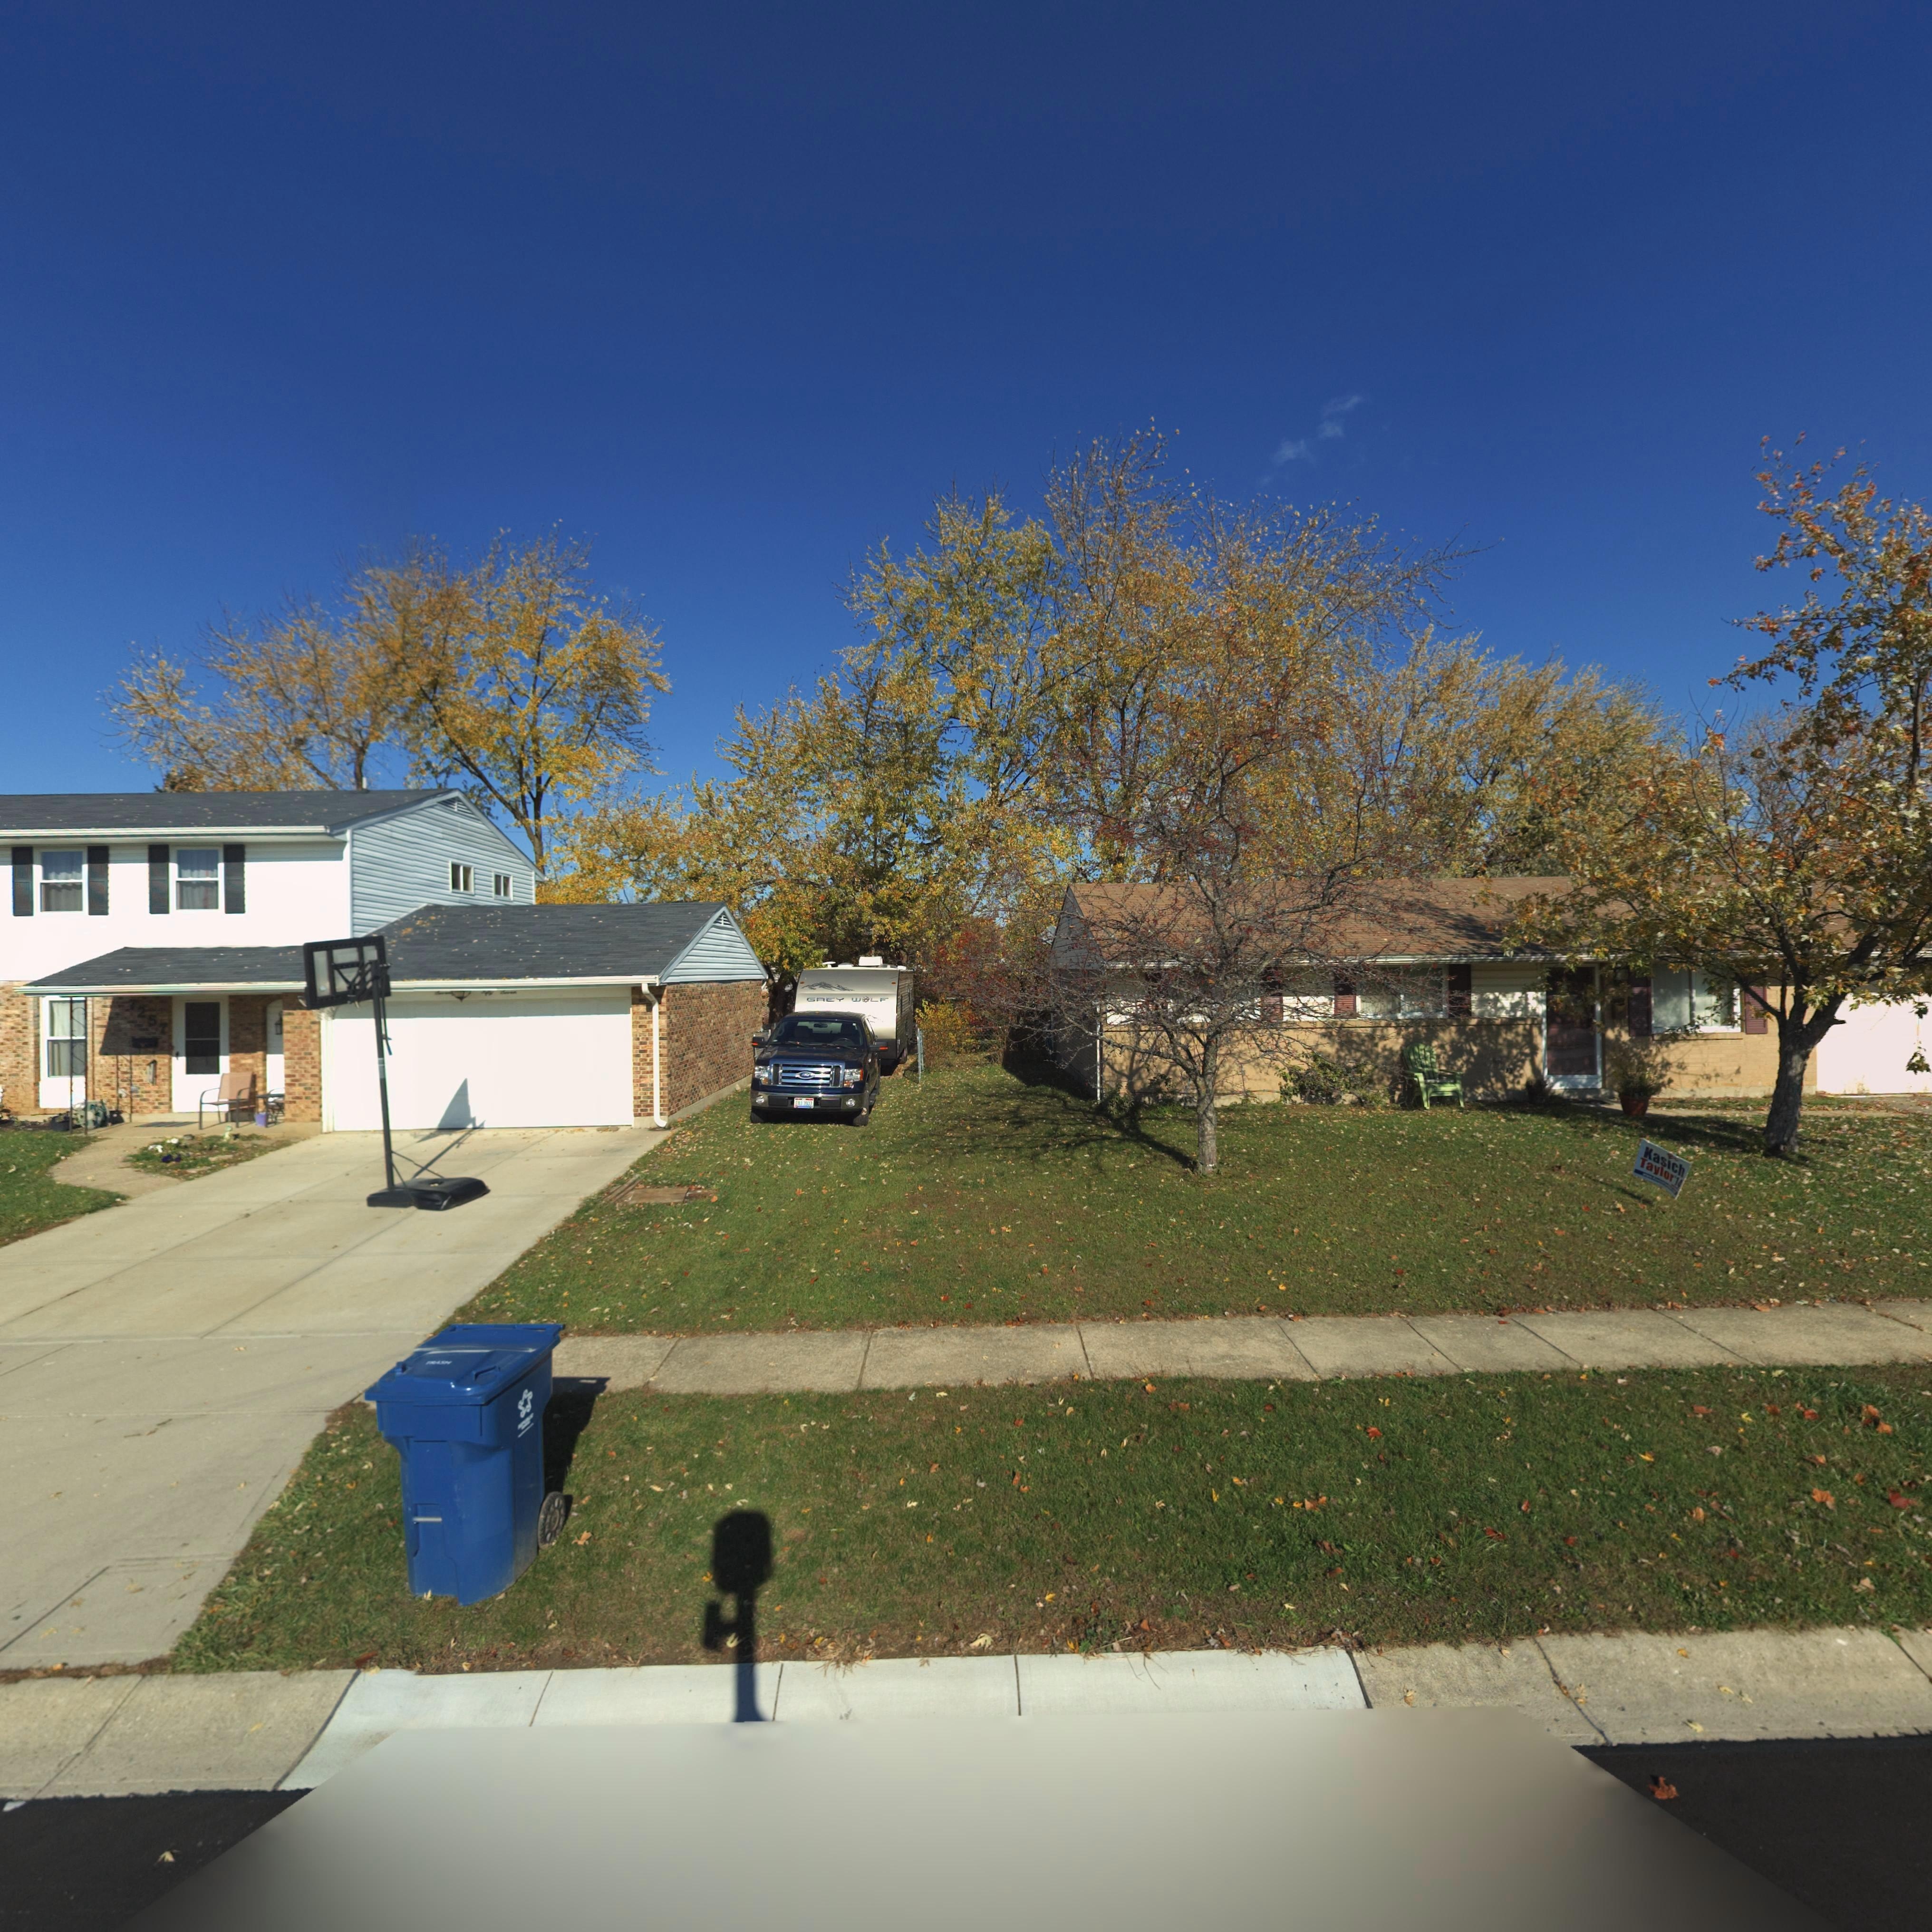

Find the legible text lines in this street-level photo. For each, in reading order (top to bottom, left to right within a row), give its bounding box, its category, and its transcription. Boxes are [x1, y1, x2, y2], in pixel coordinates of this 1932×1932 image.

[127, 999, 170, 1035] StreetNumber: 7257